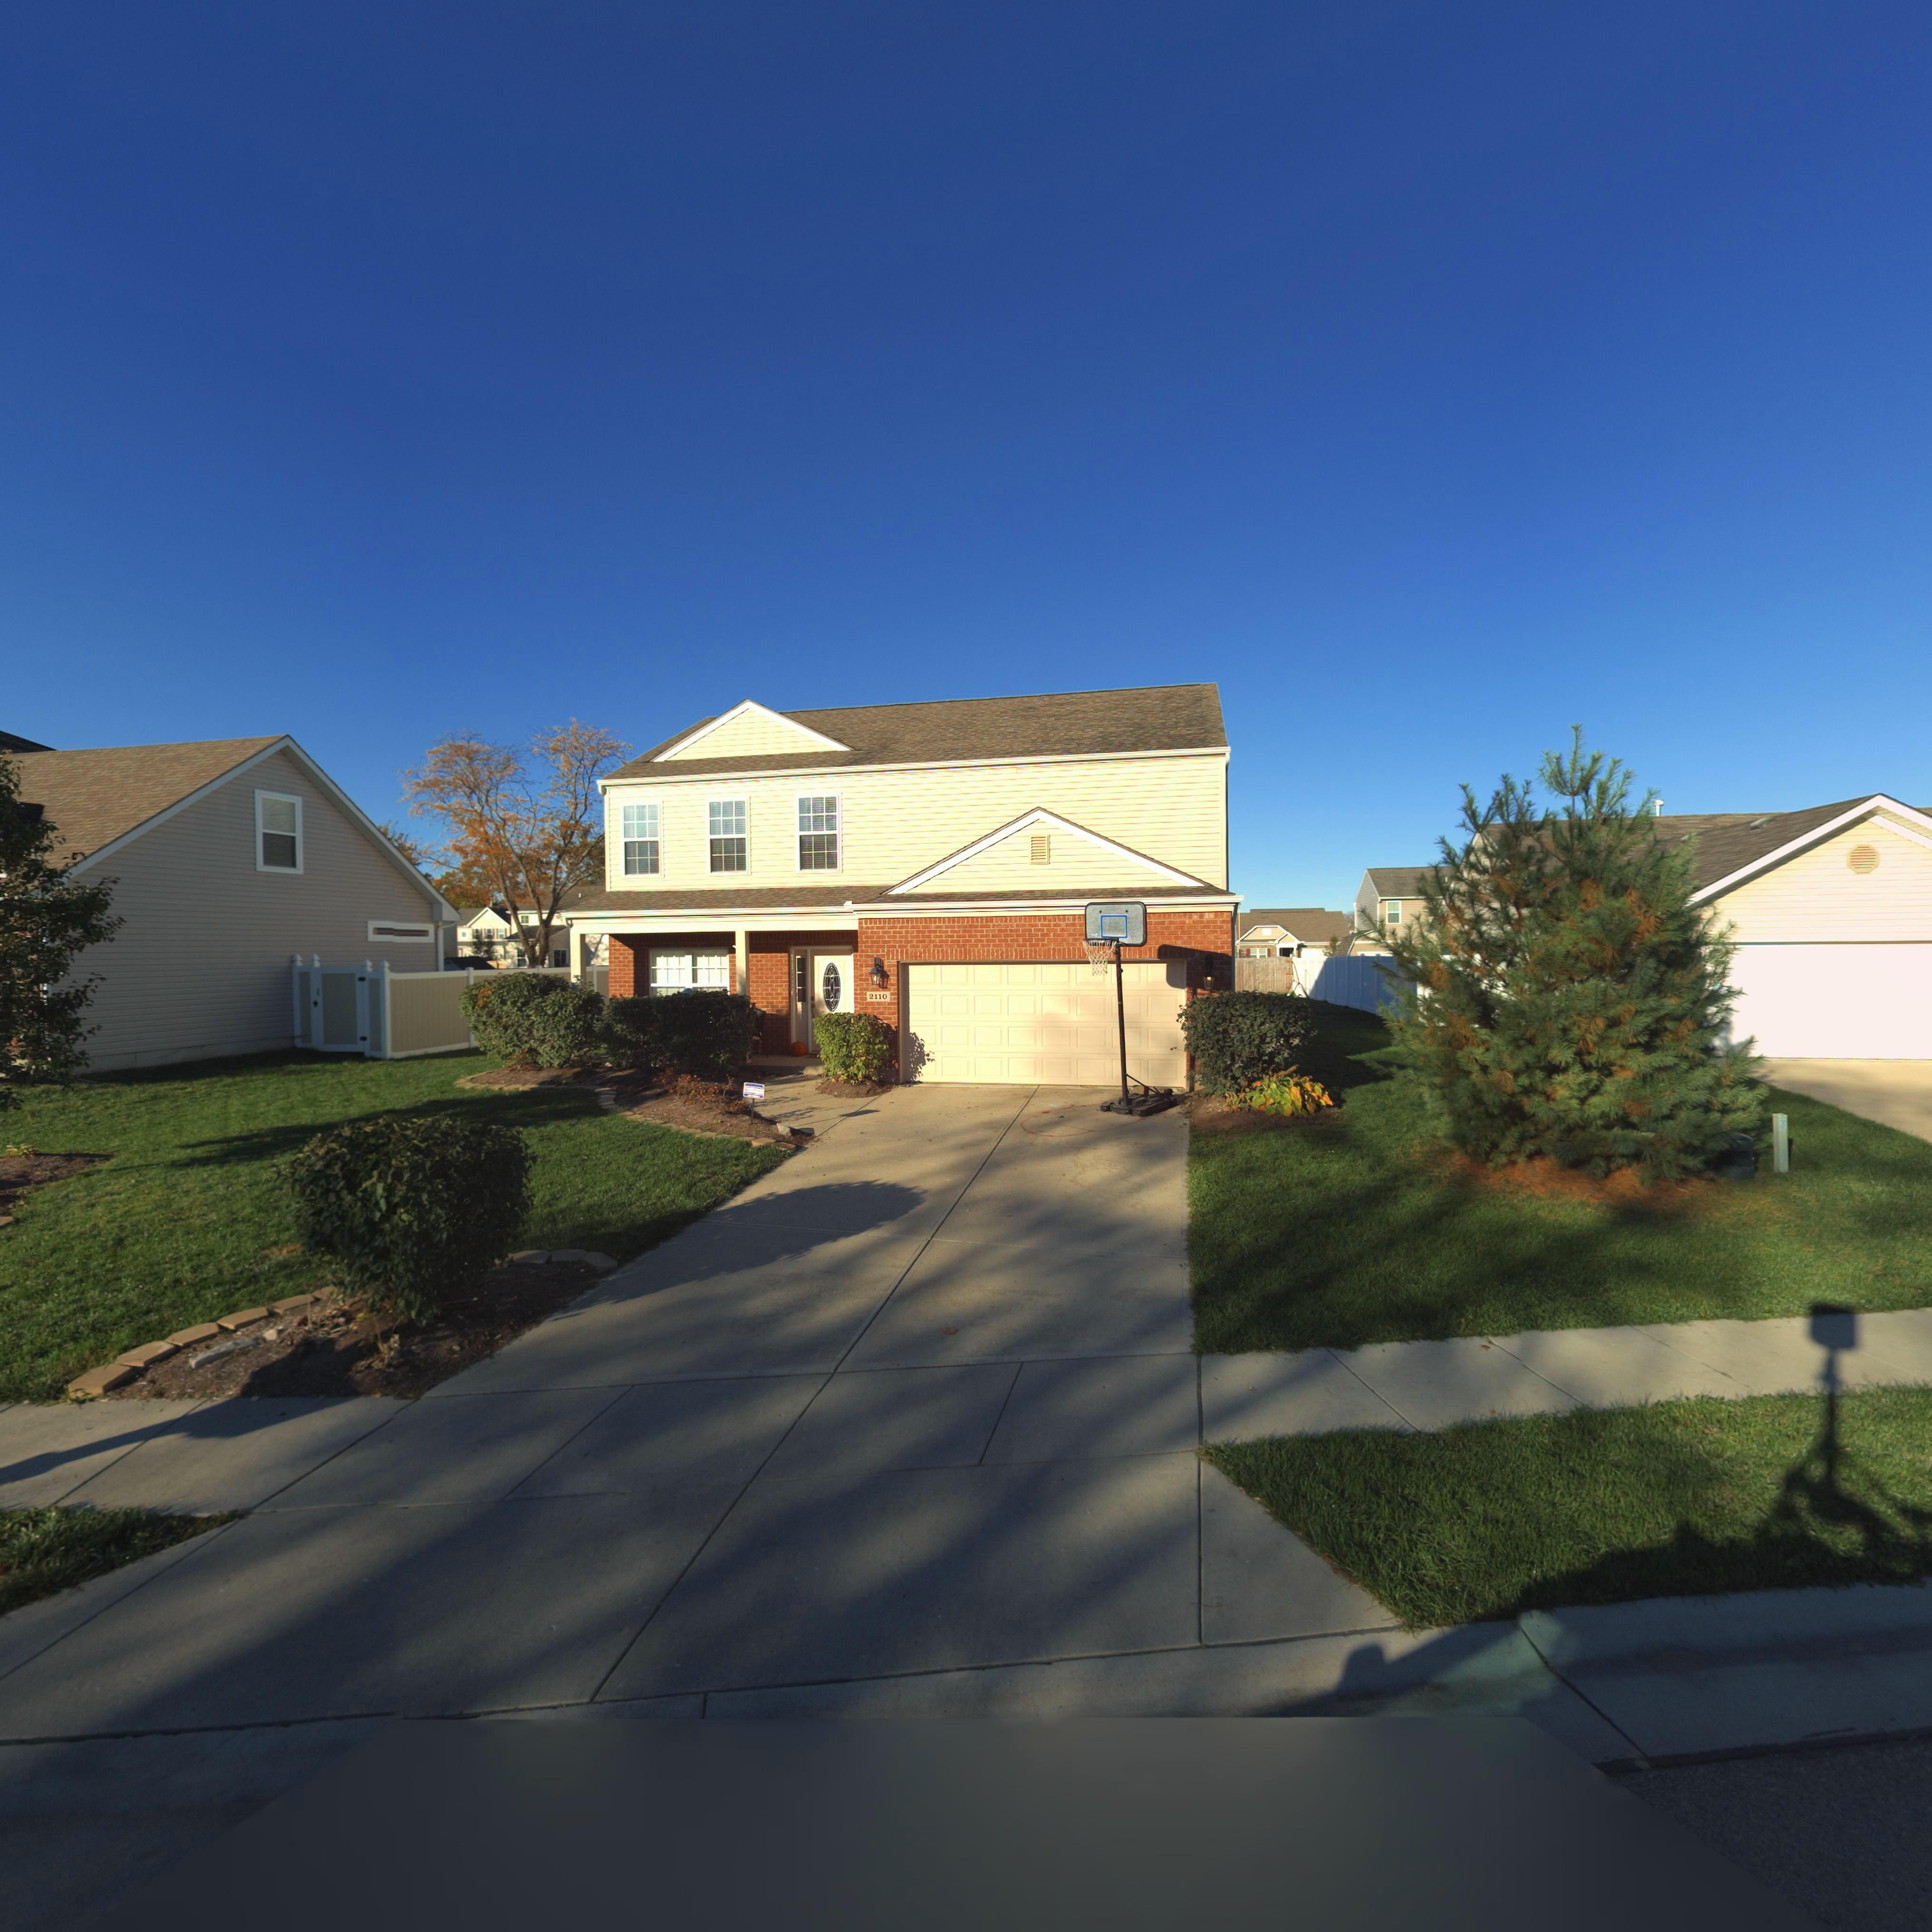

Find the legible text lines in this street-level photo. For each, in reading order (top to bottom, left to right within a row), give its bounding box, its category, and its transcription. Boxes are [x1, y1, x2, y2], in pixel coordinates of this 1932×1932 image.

[868, 993, 888, 1000] StreetNumber: 2110